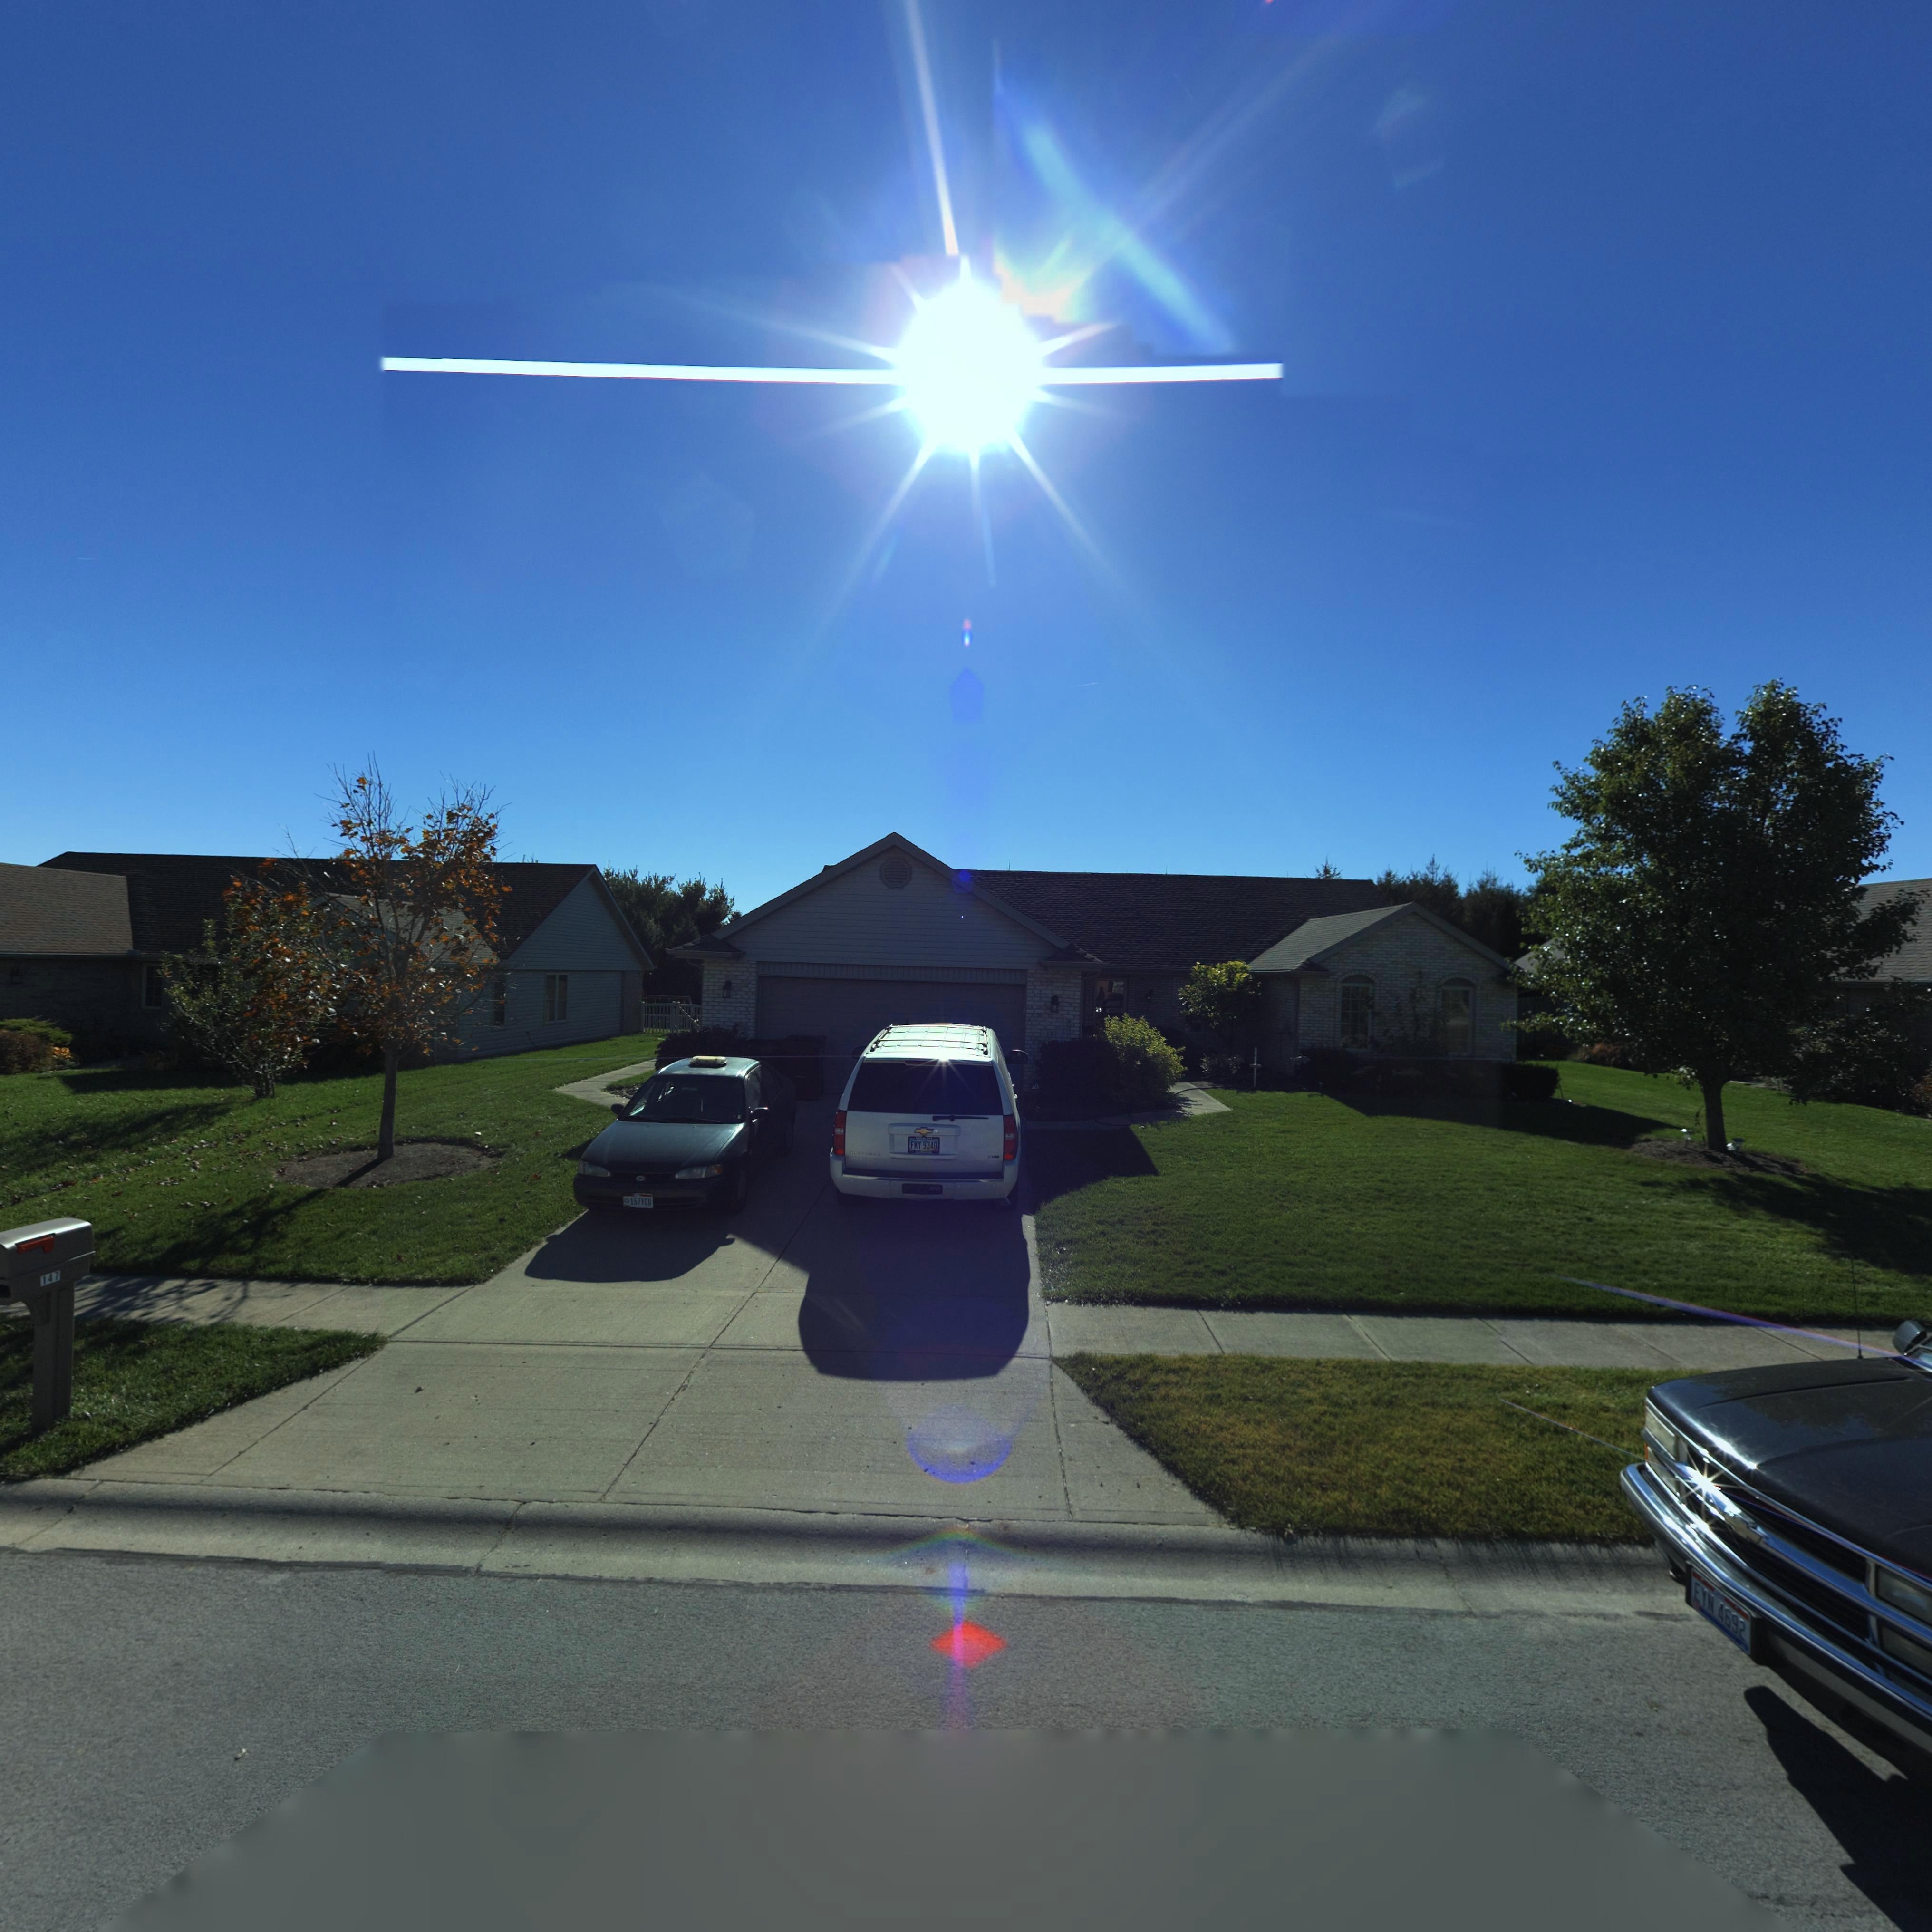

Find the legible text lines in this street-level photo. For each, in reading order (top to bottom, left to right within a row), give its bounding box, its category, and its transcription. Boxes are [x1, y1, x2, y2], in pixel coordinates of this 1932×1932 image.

[1046, 1030, 1057, 1037] StreetNumber: 147
[909, 1139, 937, 1150] None: FKY 9340
[630, 1196, 652, 1206] None: 157*CU
[40, 1270, 59, 1285] StreetNumber: 147